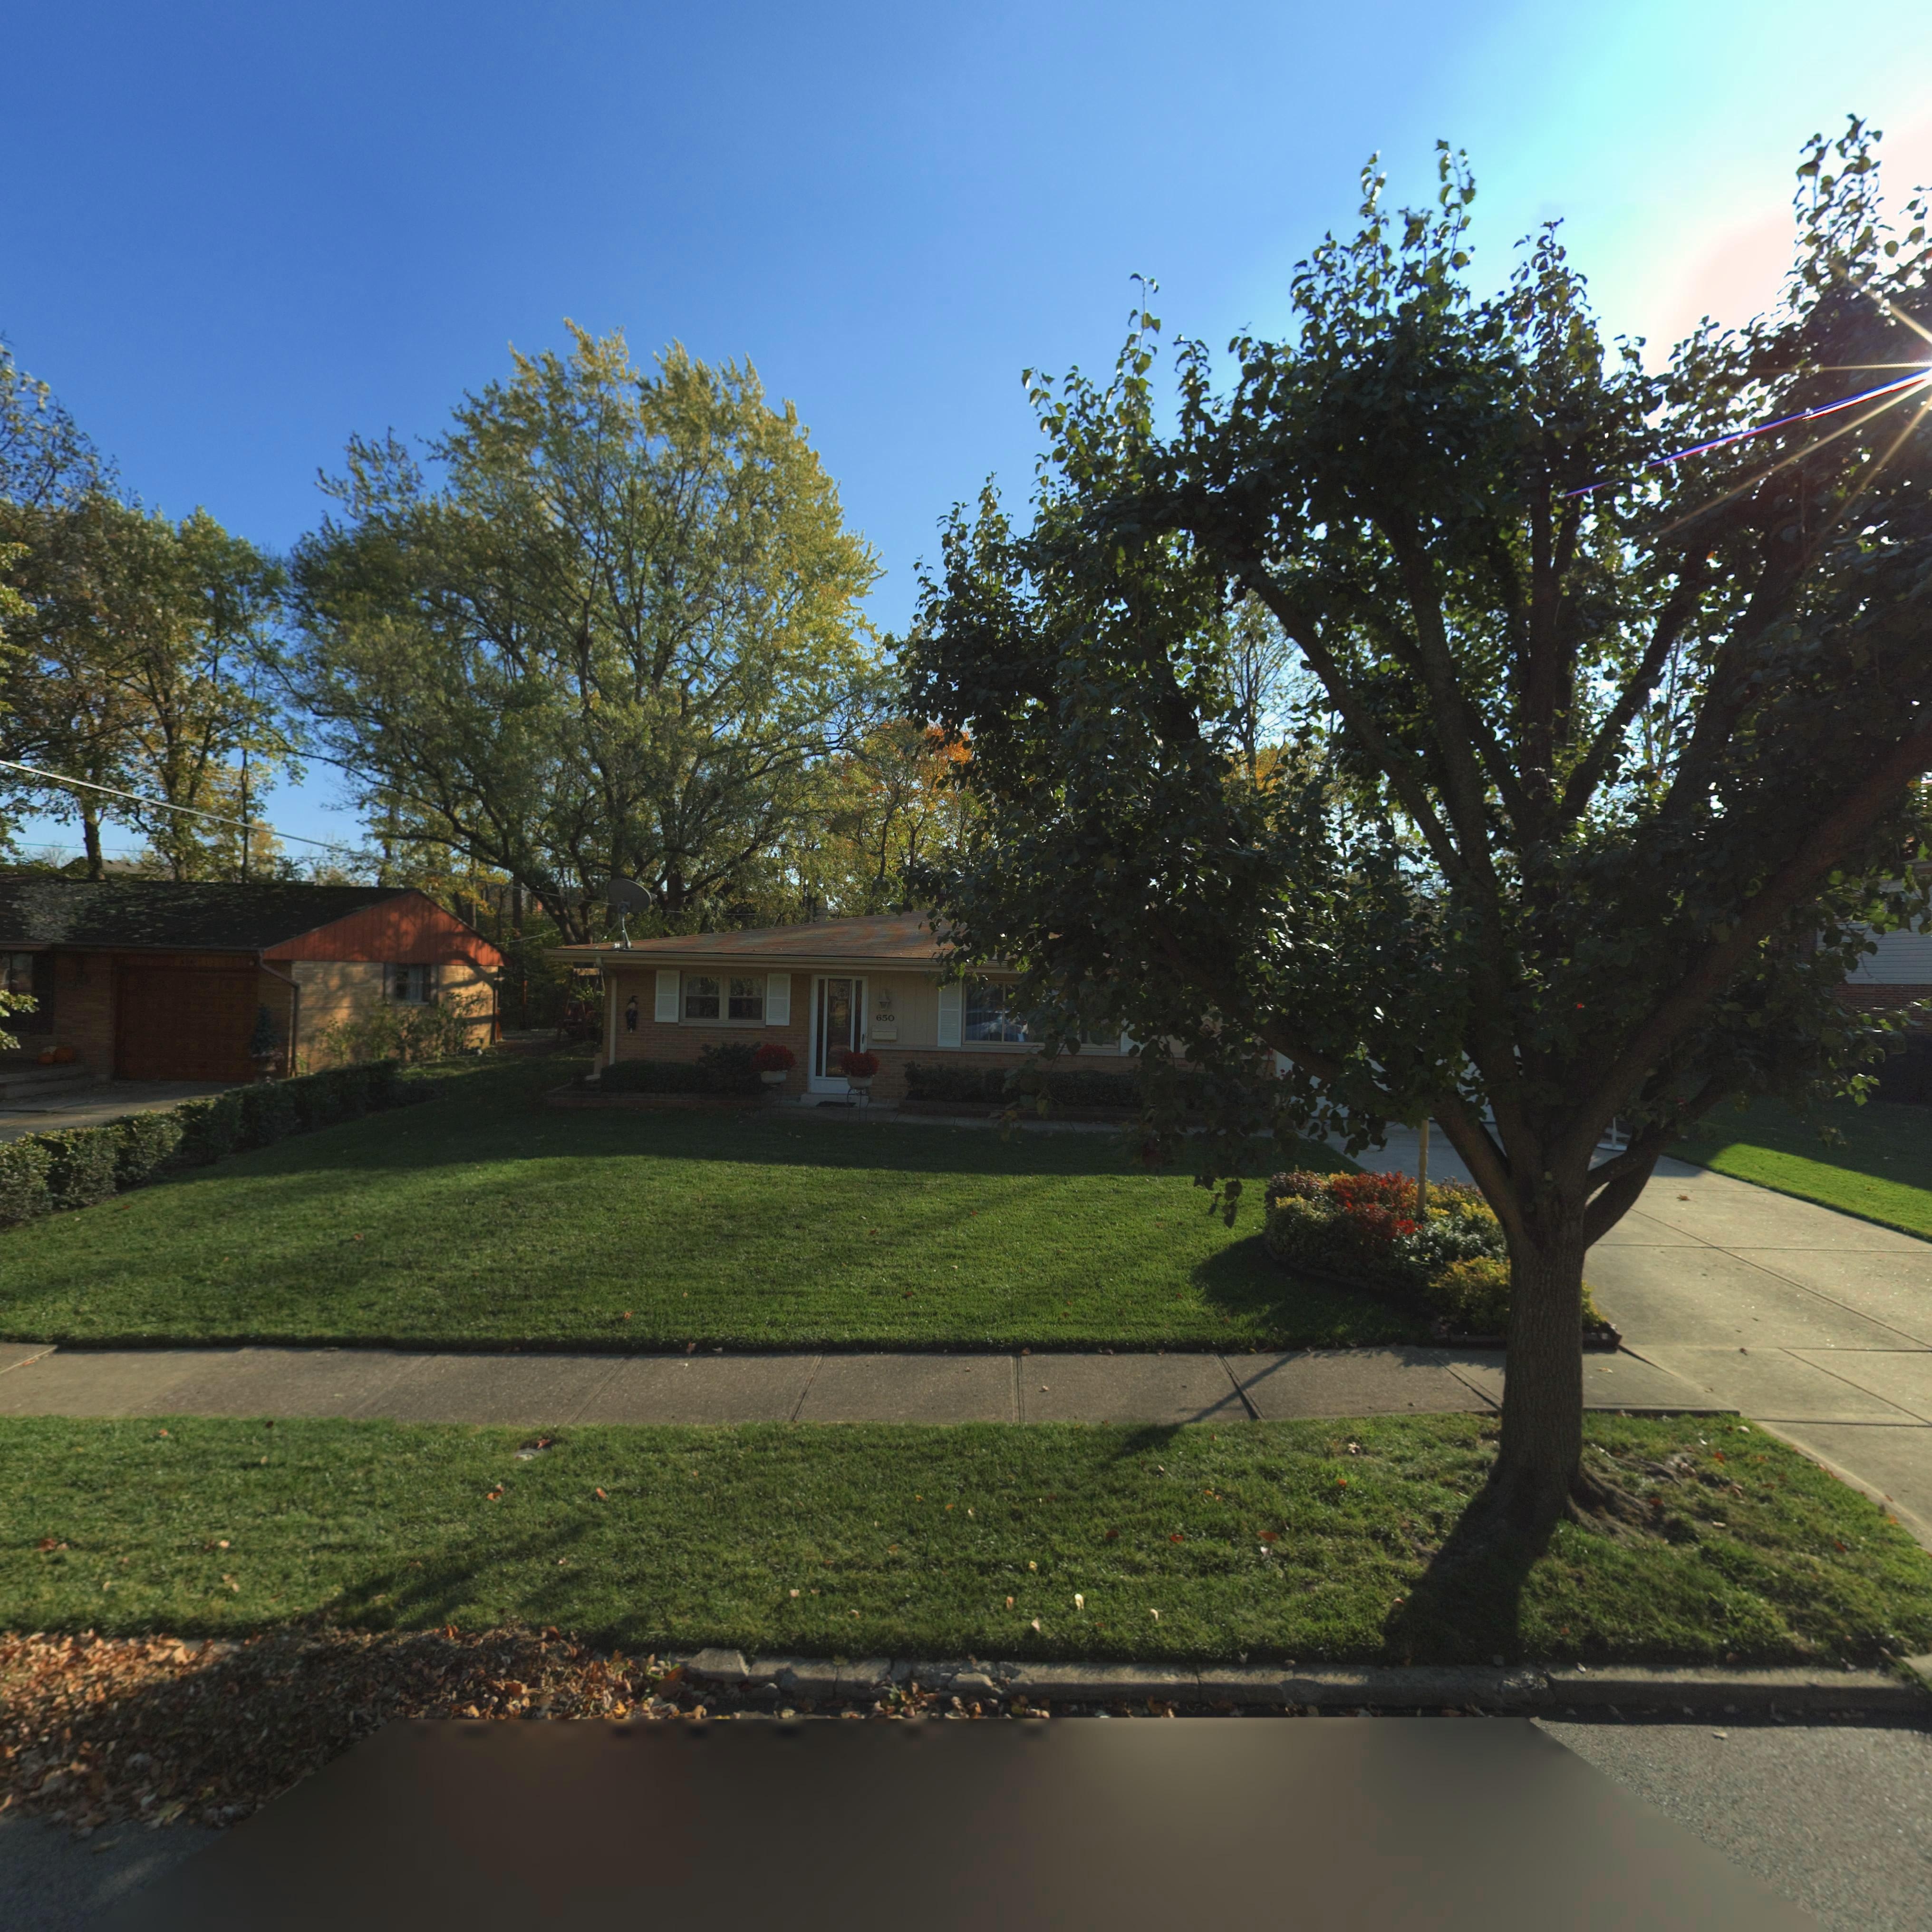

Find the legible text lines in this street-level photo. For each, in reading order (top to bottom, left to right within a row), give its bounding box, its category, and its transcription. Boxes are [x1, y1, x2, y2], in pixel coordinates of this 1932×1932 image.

[876, 1014, 895, 1022] StreetNumber: 650